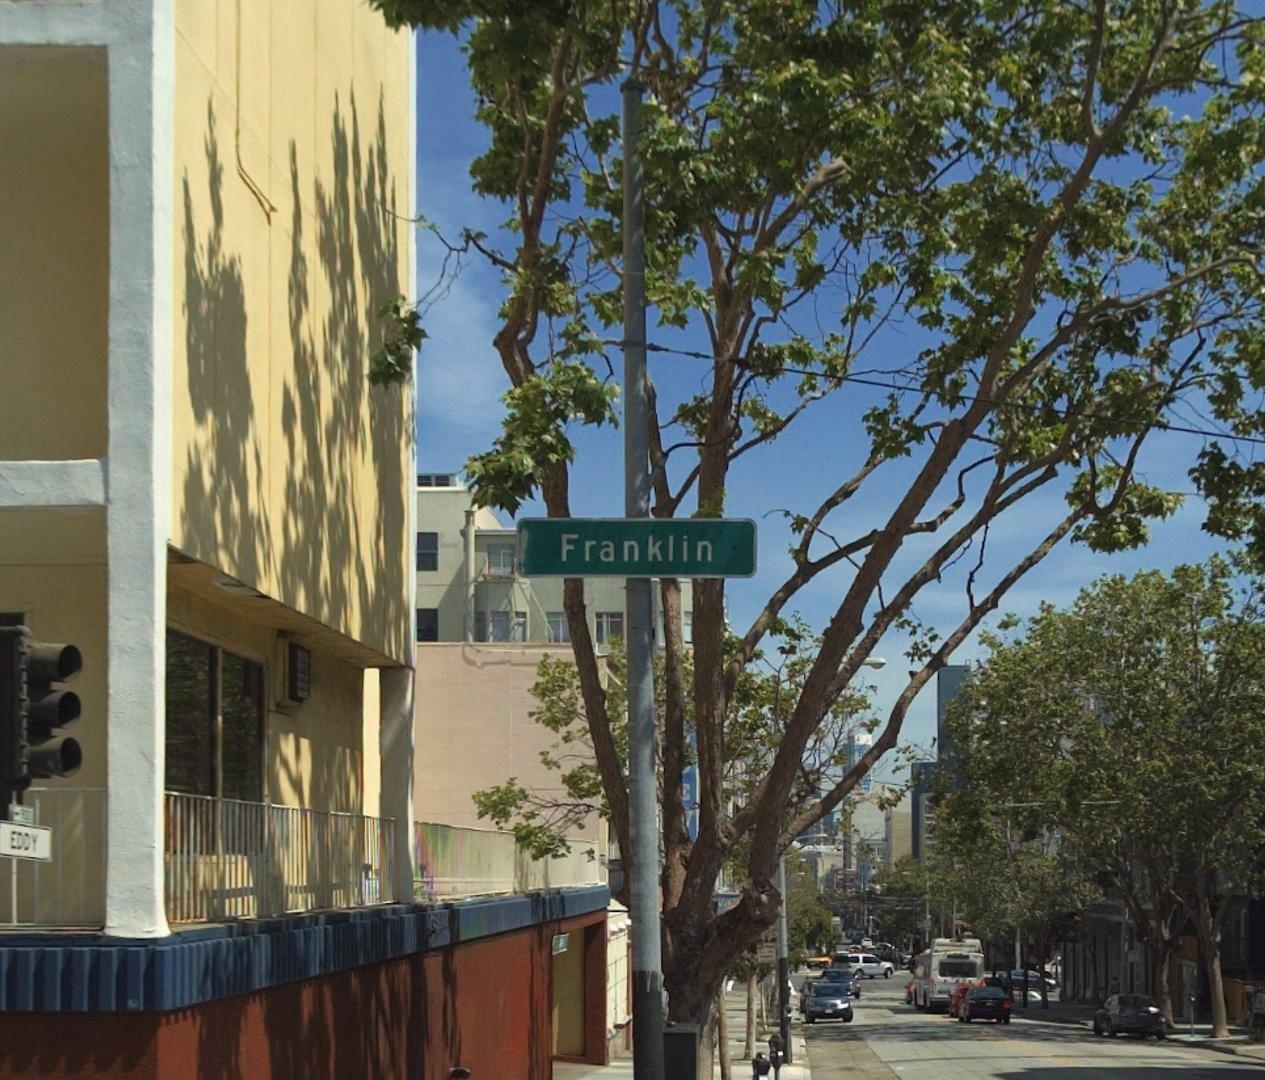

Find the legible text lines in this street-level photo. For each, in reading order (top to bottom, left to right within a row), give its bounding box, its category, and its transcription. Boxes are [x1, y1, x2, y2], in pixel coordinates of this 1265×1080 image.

[559, 532, 714, 564] StreetName: Franklin
[9, 828, 40, 852] StreetName: EDDY